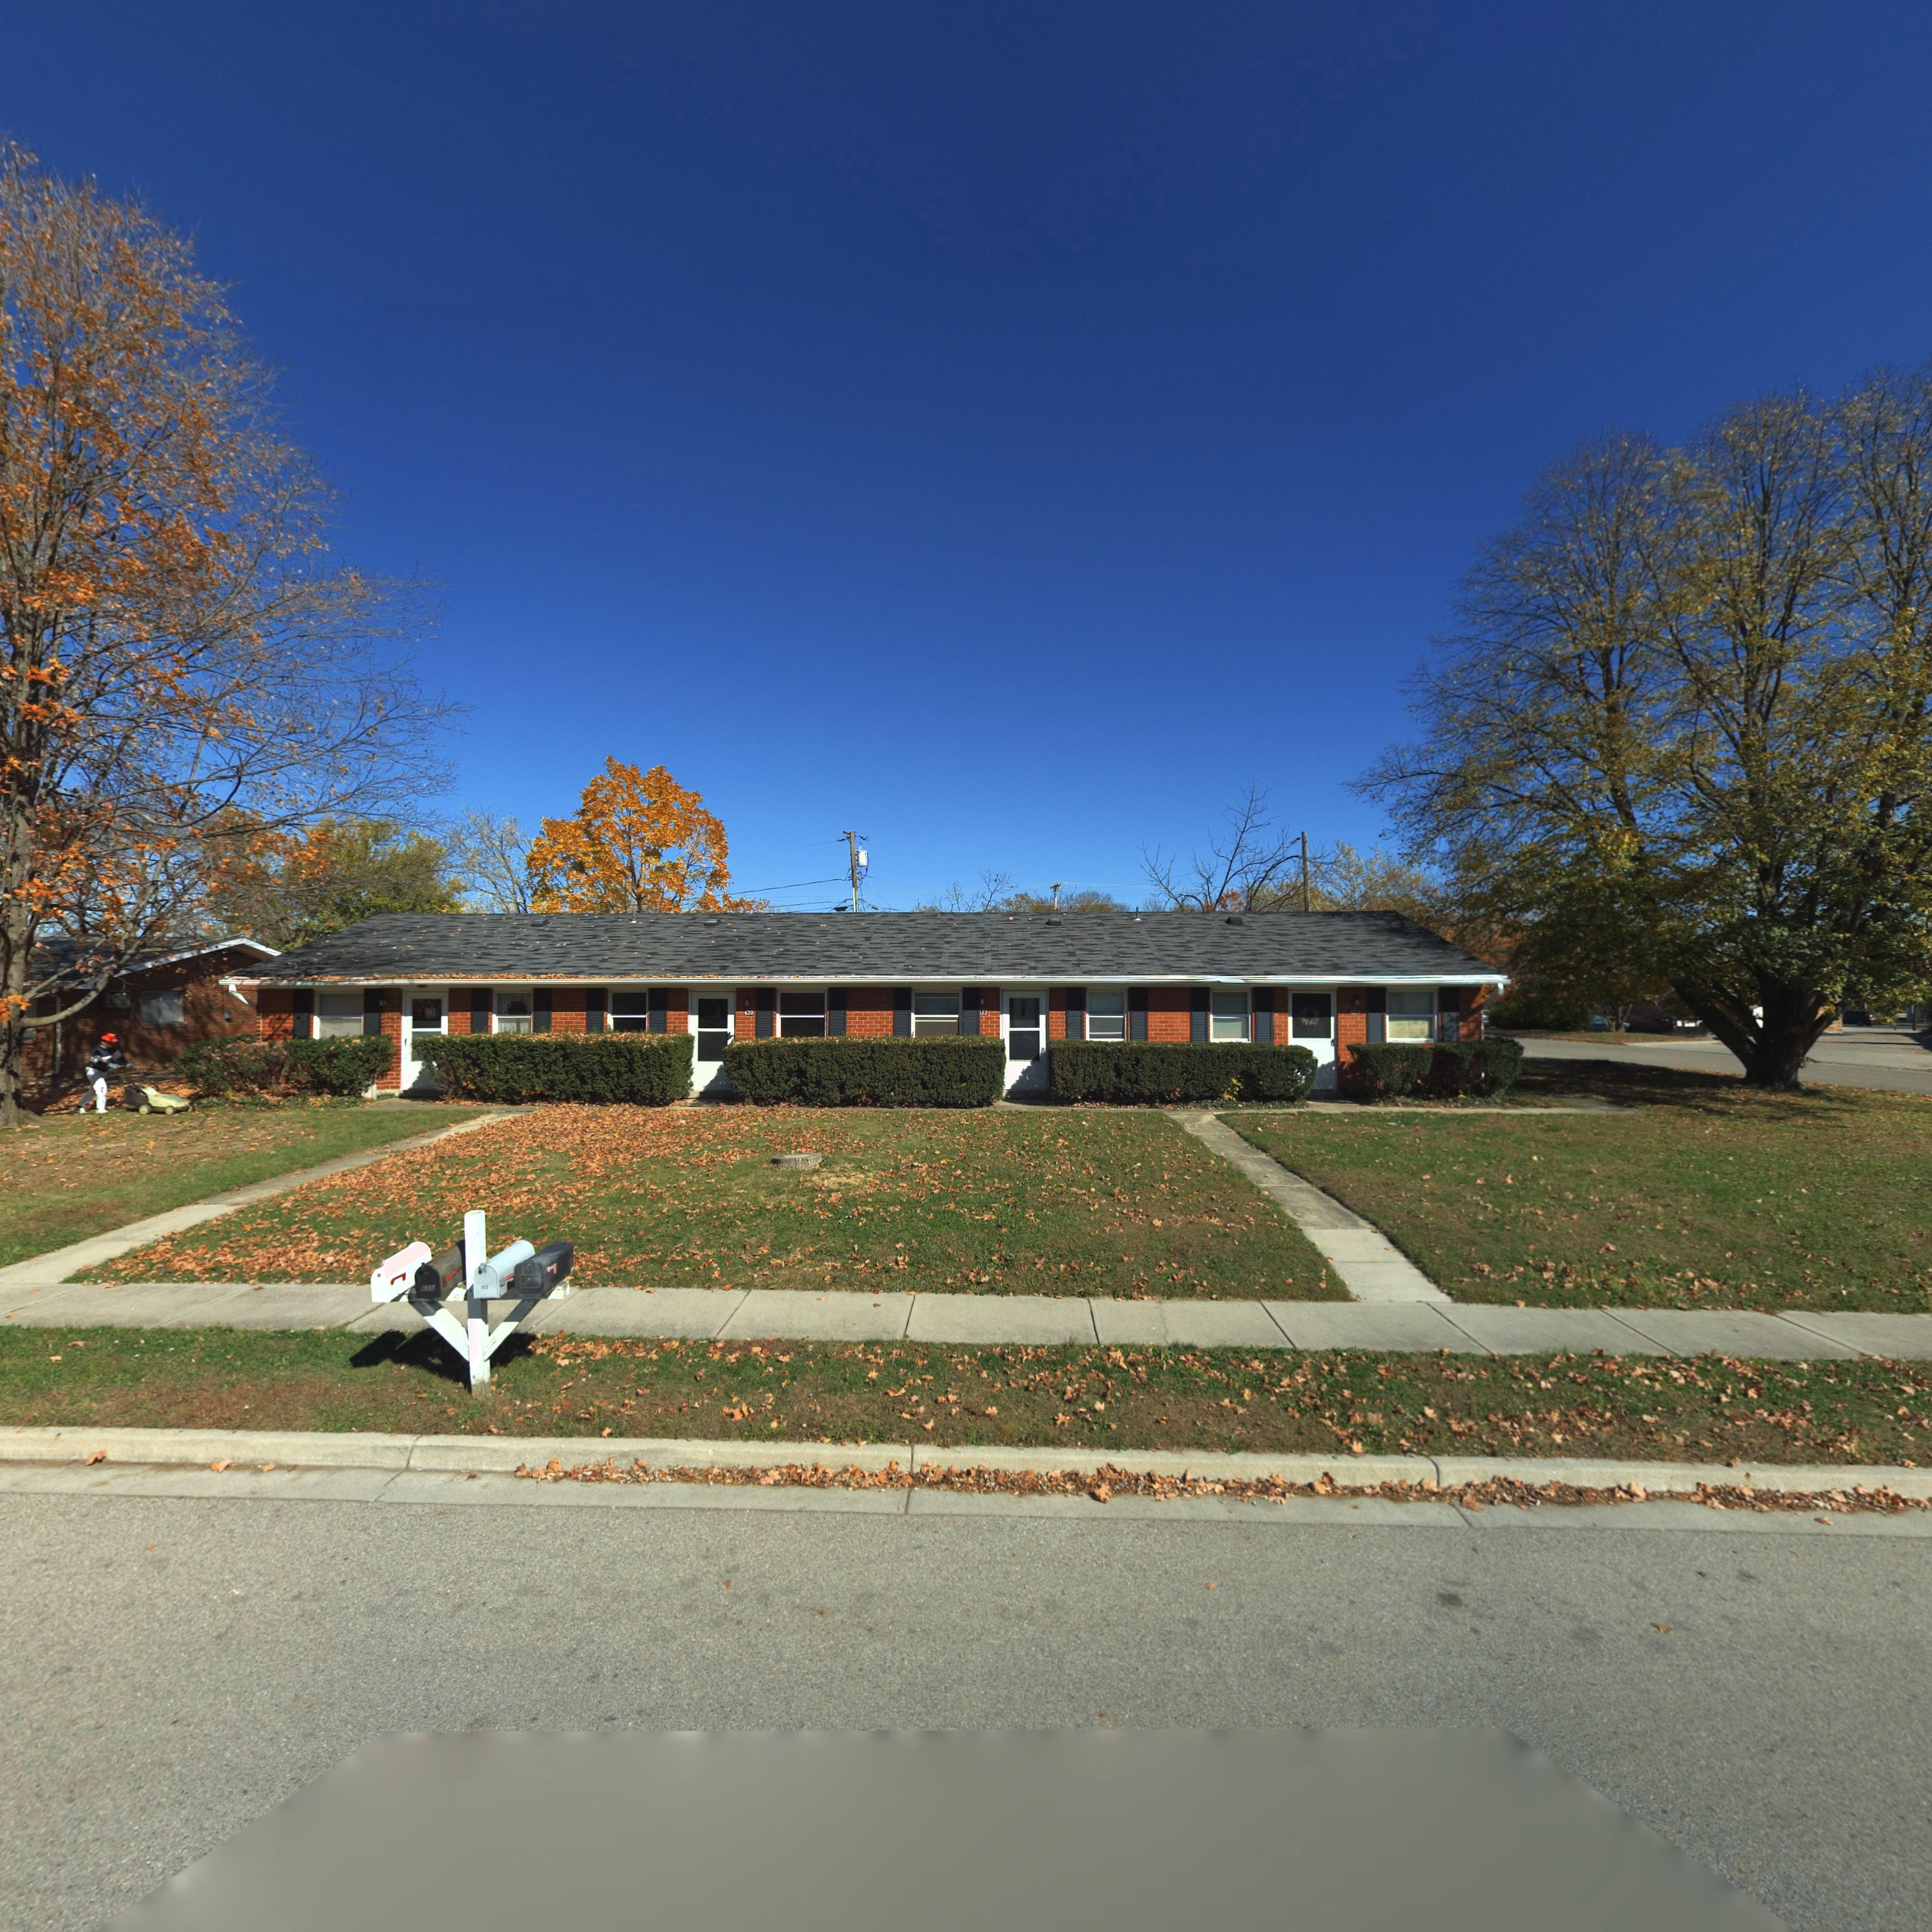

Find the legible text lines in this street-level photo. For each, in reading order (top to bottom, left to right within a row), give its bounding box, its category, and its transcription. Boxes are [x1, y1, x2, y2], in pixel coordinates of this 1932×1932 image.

[744, 1010, 753, 1015] StreetNumber: 620
[981, 1010, 988, 1015] StreetNumber: 22
[1350, 1009, 1361, 1015] StreetNumber: 624
[421, 1285, 435, 1291] StreetNumber: 620
[481, 1285, 489, 1290] StreetNumber: *22